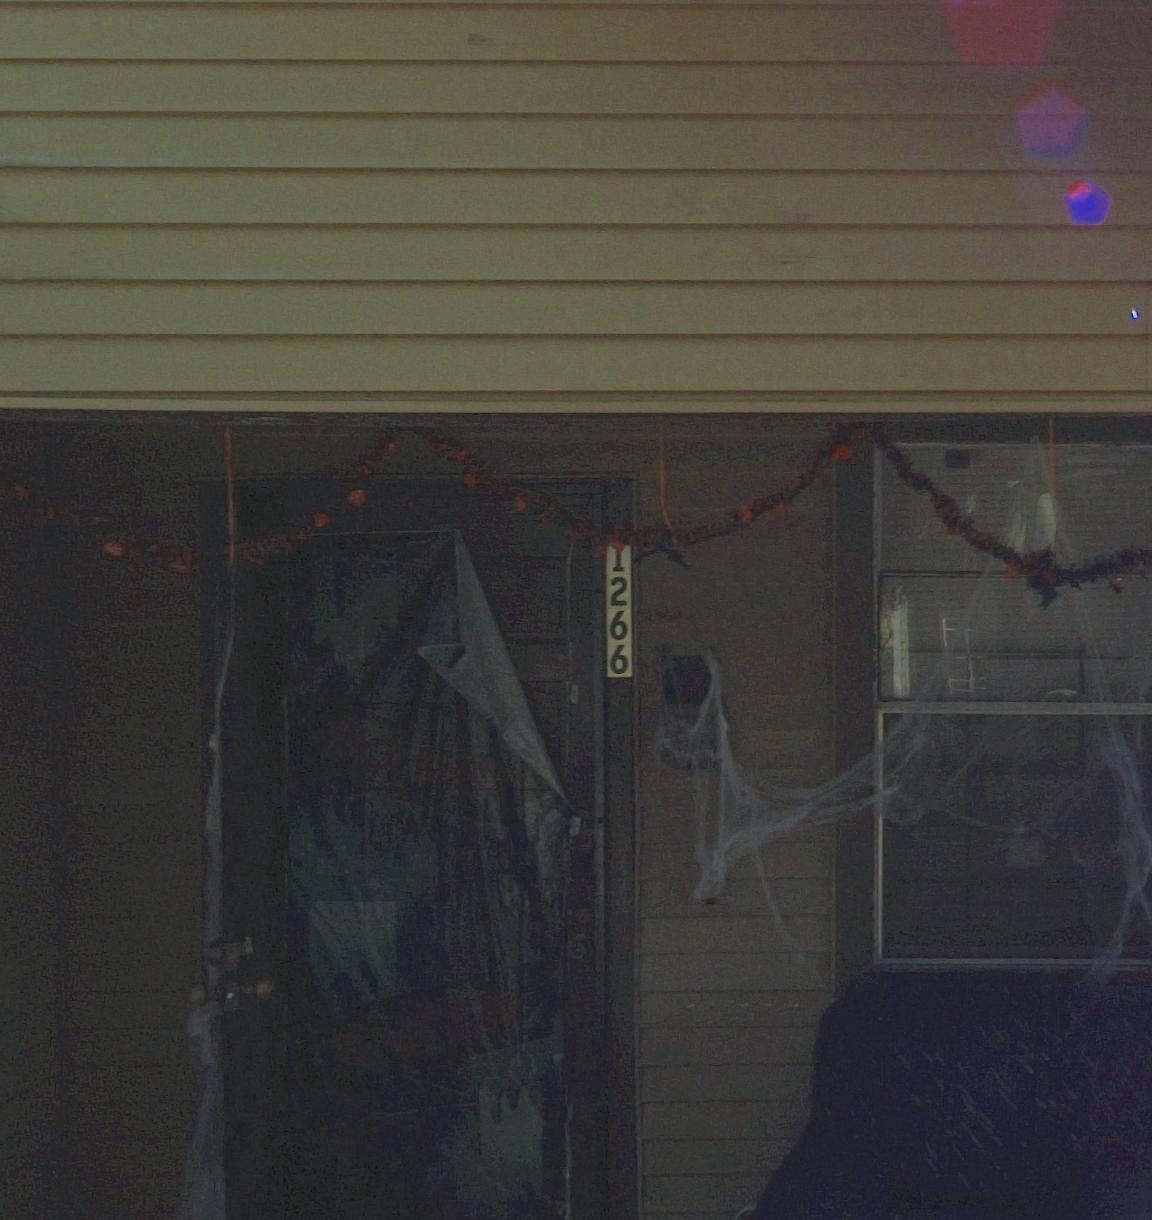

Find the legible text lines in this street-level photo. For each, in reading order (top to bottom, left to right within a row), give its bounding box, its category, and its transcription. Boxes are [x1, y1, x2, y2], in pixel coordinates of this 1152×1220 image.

[607, 545, 632, 678] StreetNumber: *266